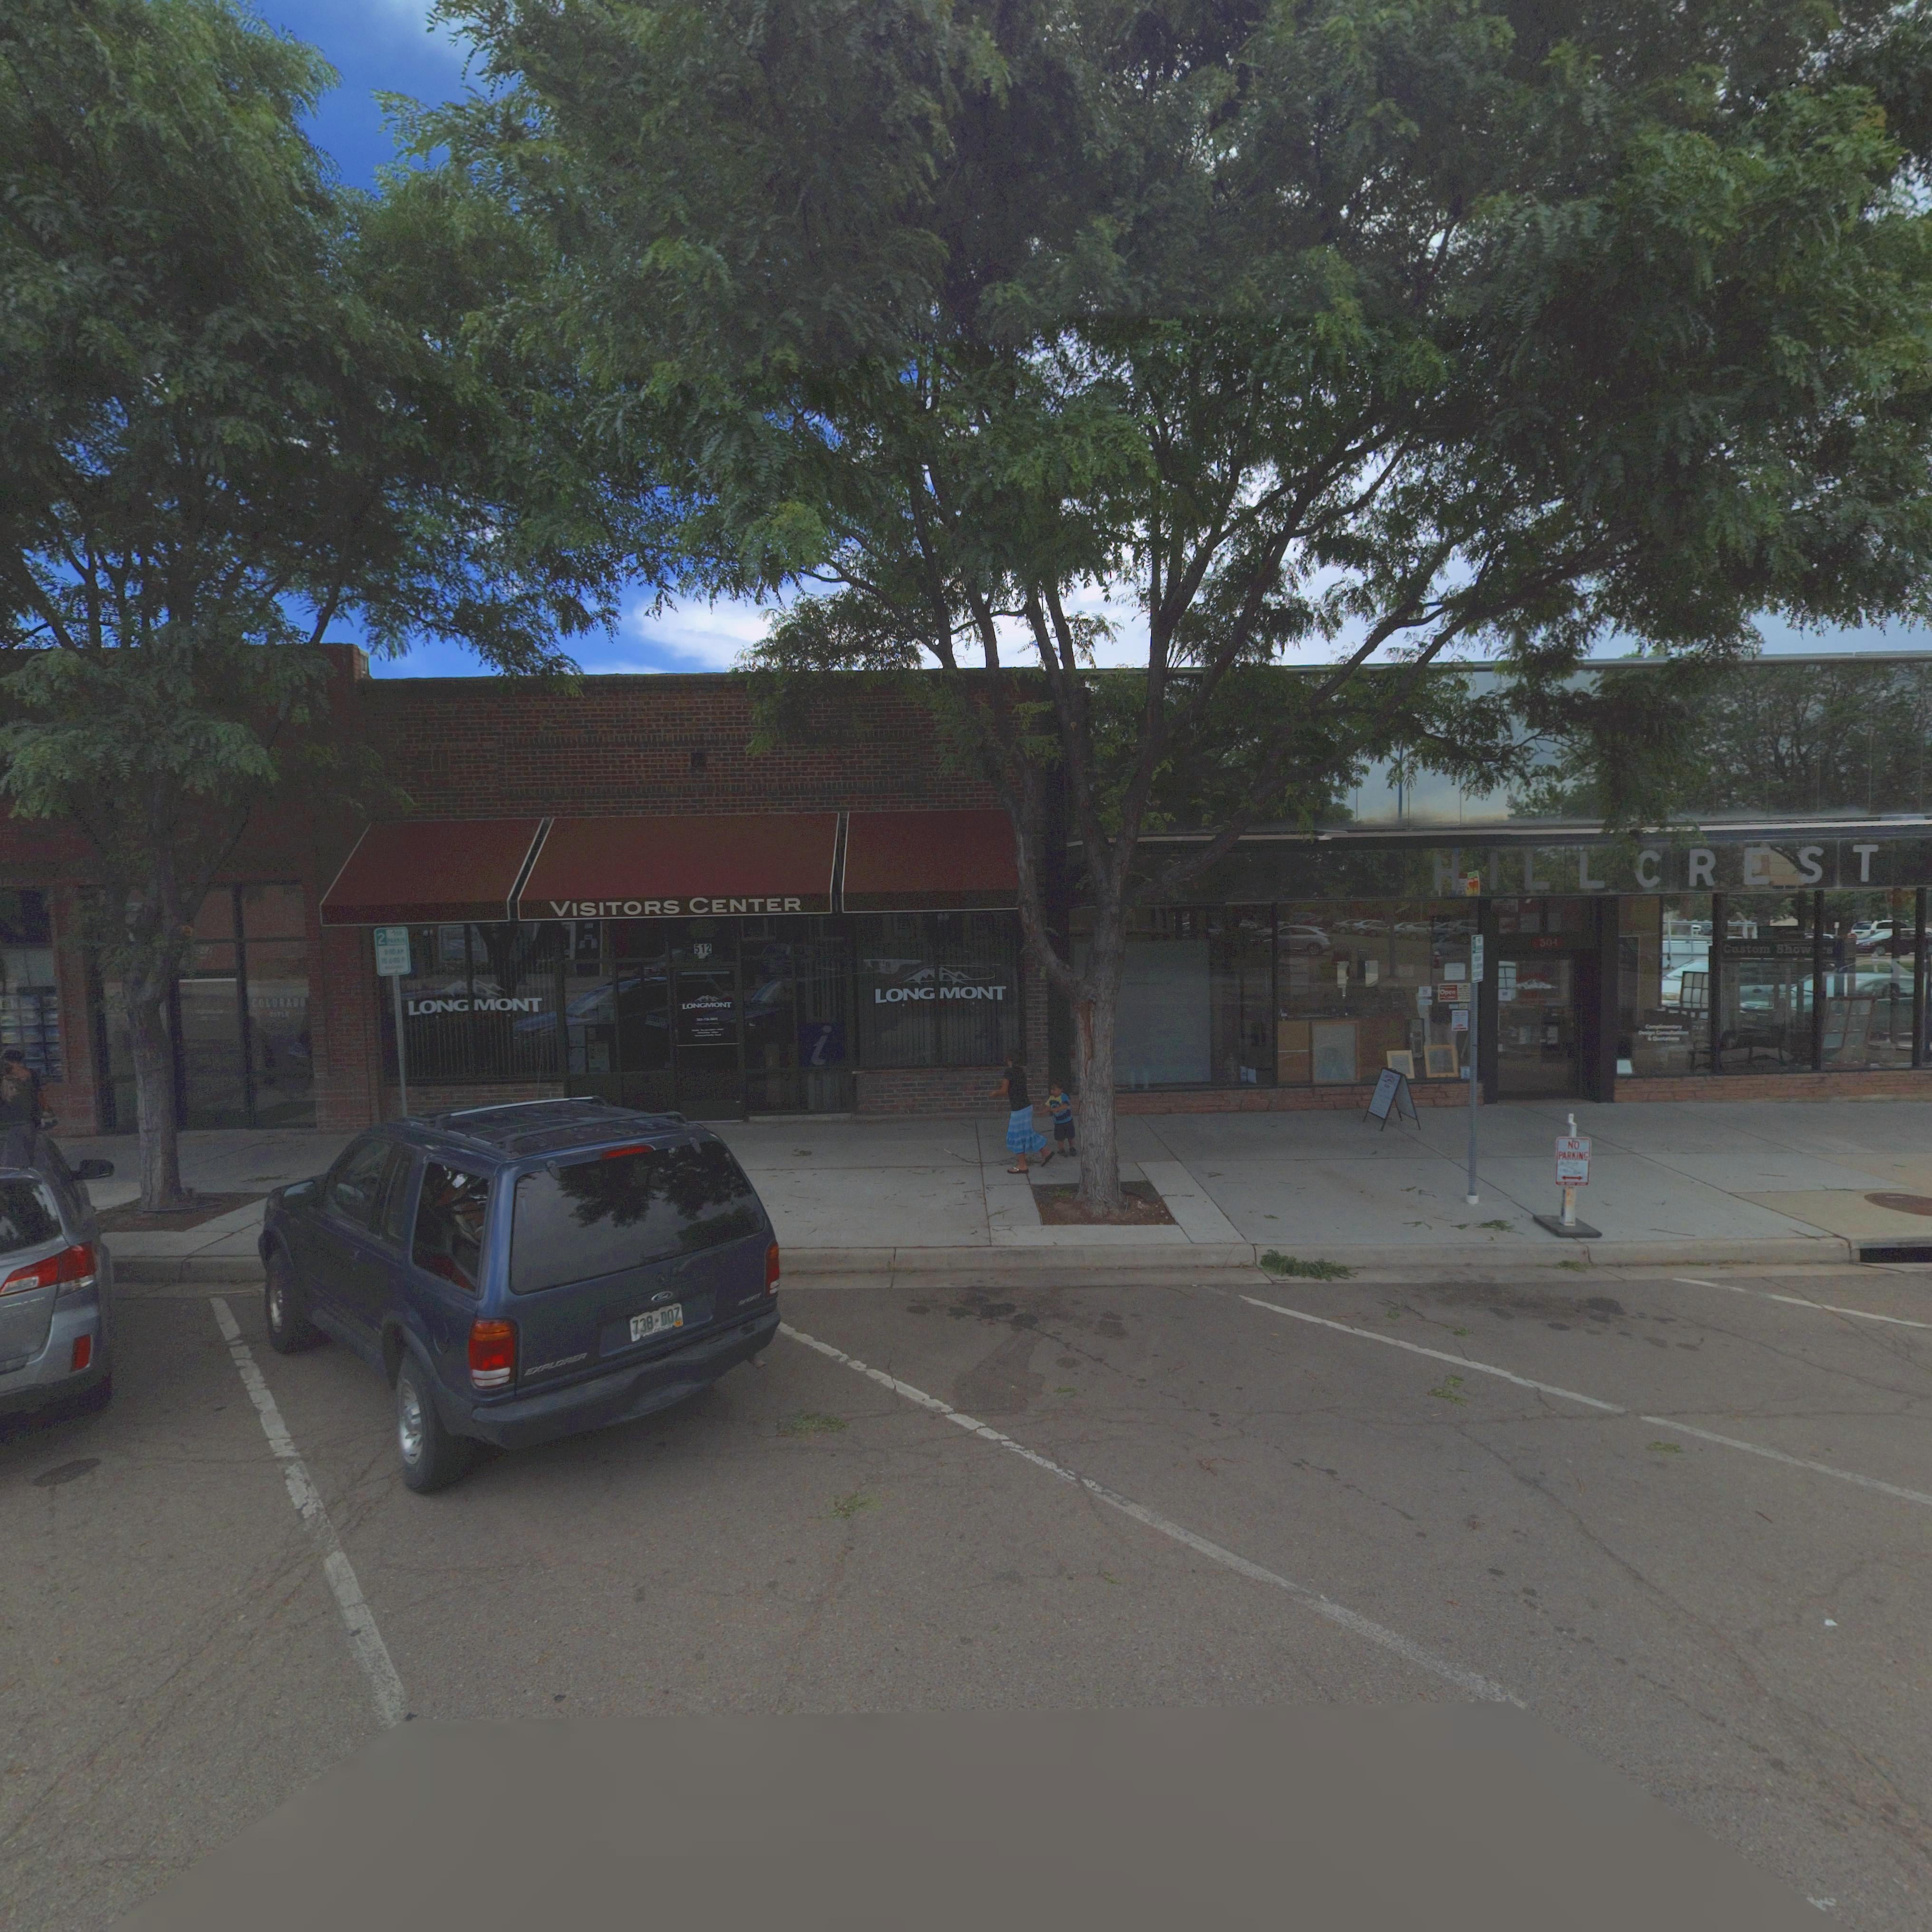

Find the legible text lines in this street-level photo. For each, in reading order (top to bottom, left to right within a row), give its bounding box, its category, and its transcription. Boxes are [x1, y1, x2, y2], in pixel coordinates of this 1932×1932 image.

[1433, 843, 1881, 891] BusinessName: HILLCREST
[548, 898, 801, 916] BusinessName: VISITORS CENTER
[1540, 938, 1558, 947] StreetNumber: 504
[194, 945, 214, 955] StreetNumber: *4P
[695, 943, 711, 953] StreetNumber: 512